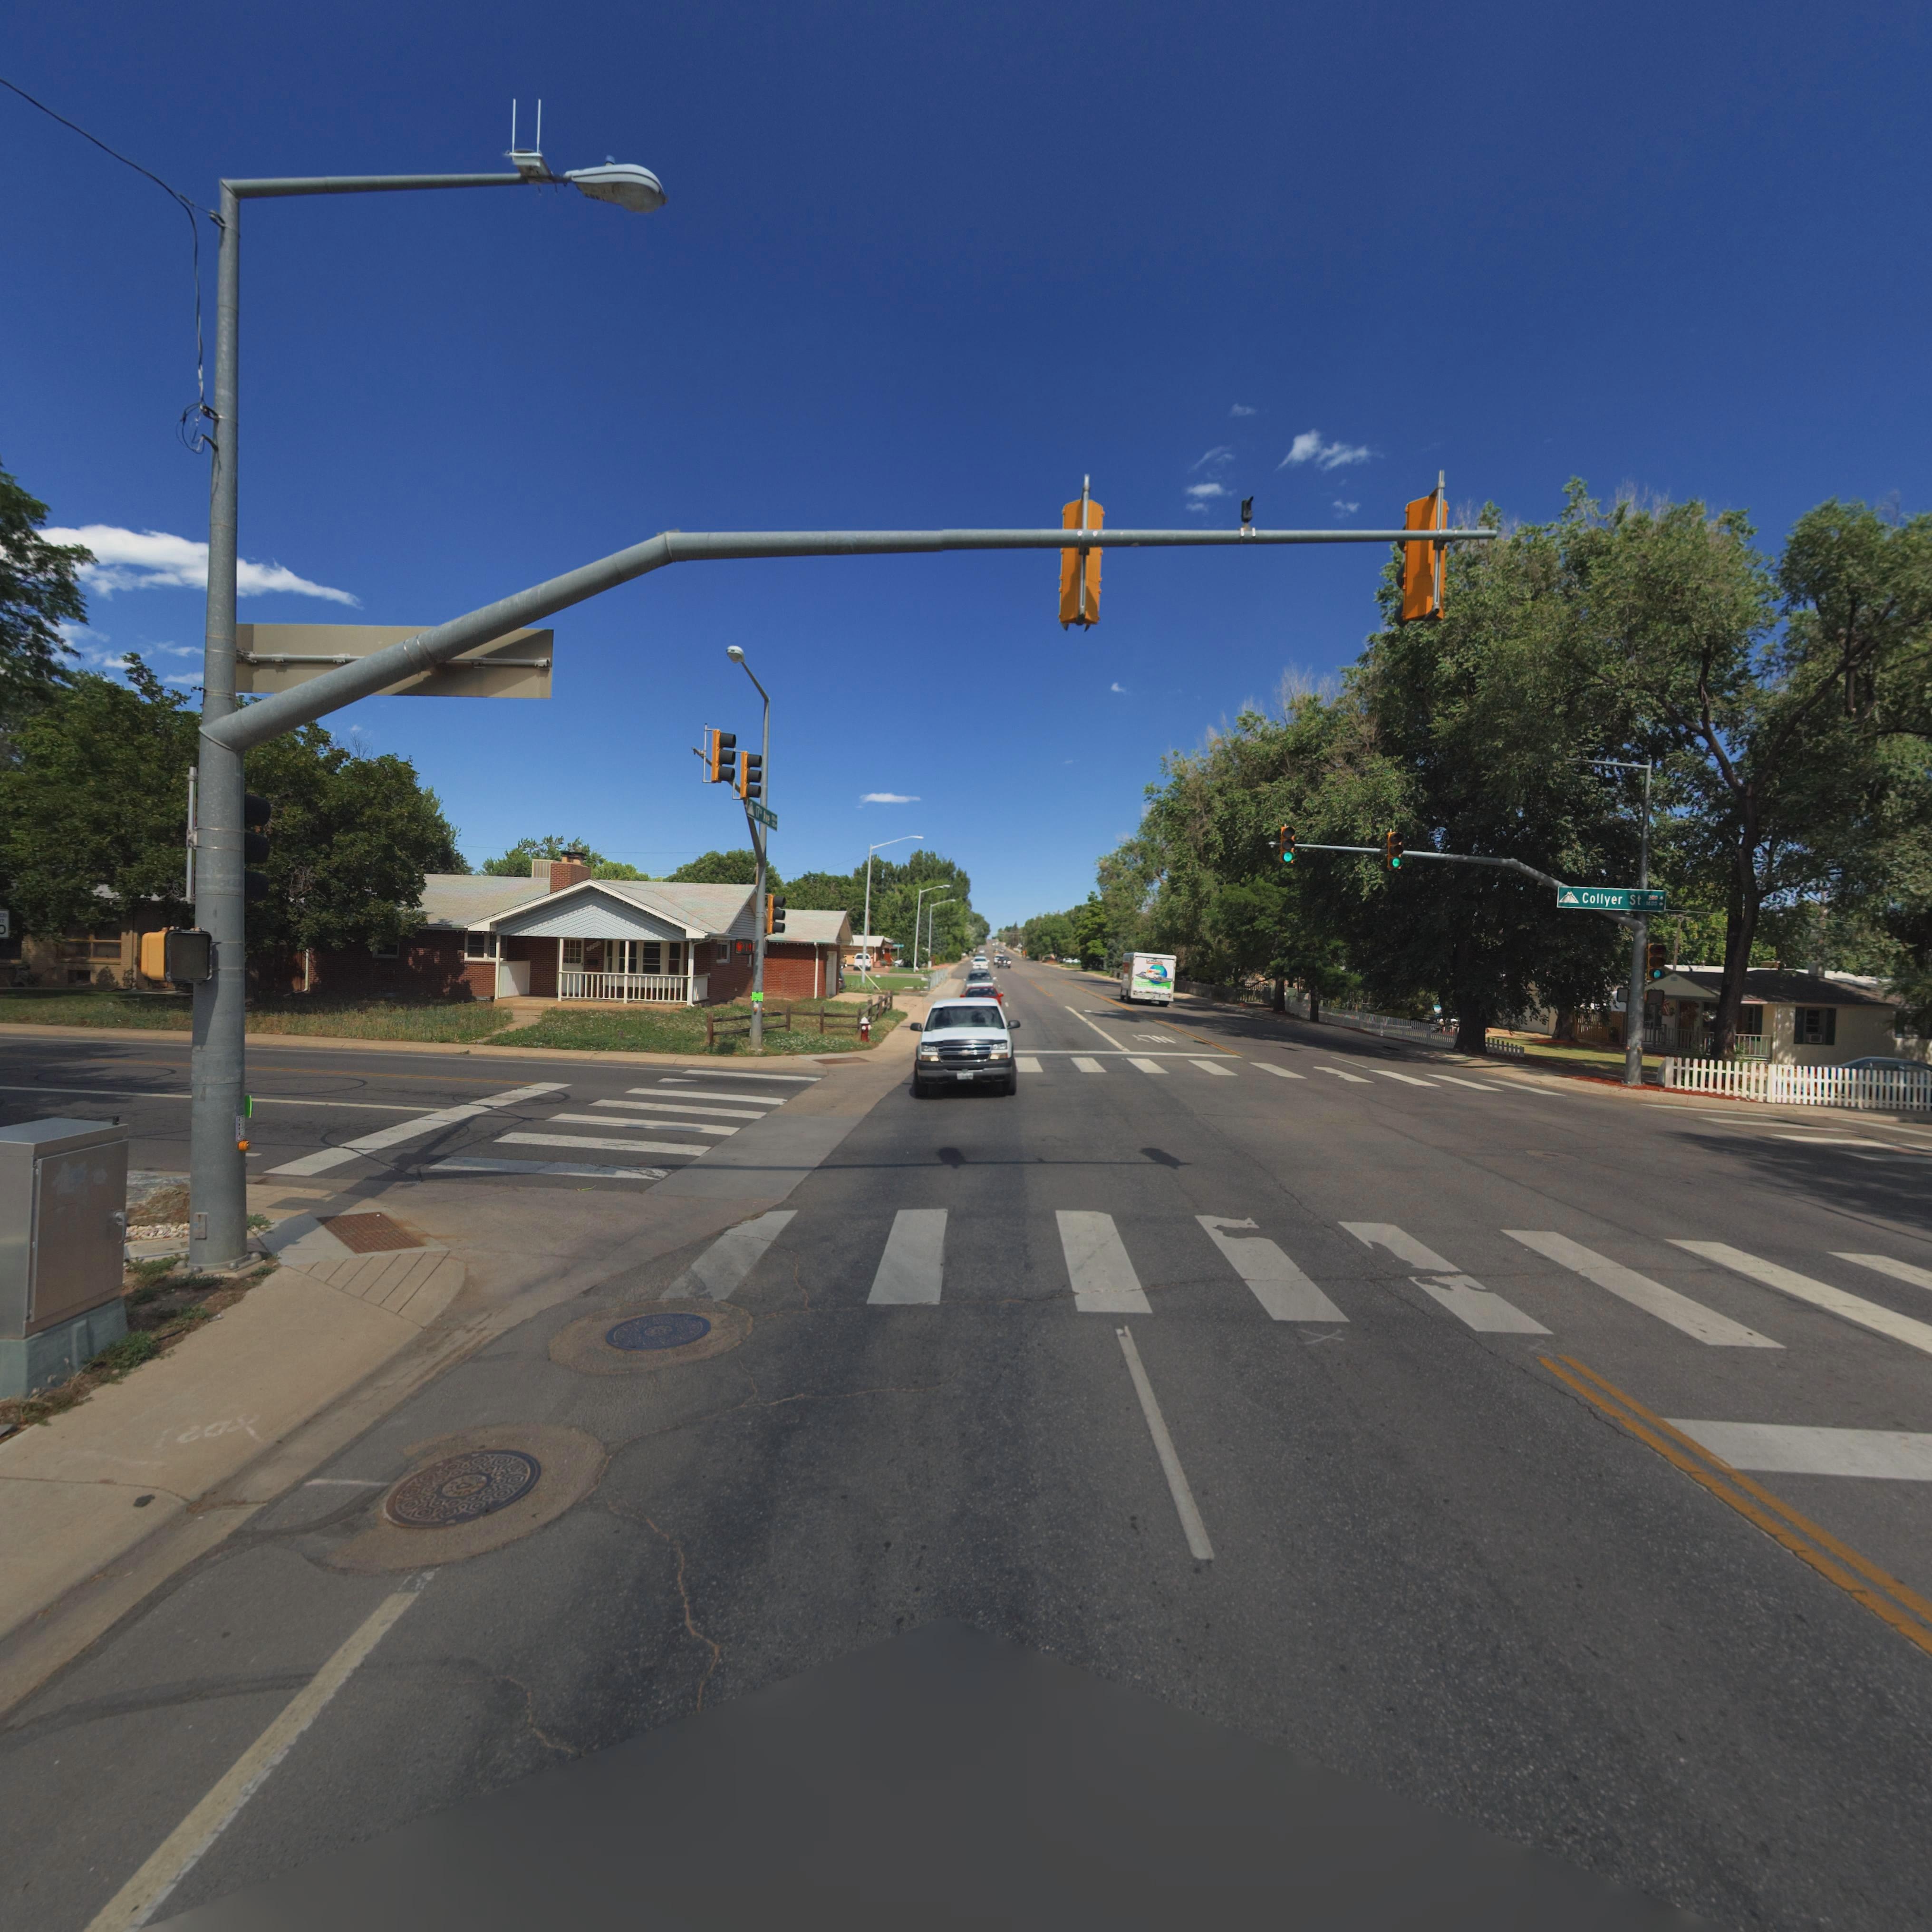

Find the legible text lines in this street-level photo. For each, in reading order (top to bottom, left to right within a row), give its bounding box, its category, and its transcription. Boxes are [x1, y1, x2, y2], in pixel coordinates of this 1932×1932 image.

[755, 805, 770, 824] StreetName: 17** **e
[1582, 892, 1642, 907] StreetName: Collyer St
[1648, 895, 1658, 900] StreetNumberRange: 200
[1646, 900, 1664, 906] StreetNumberRange: 1600*
[588, 940, 600, 951] StreetNumber: 1*0*